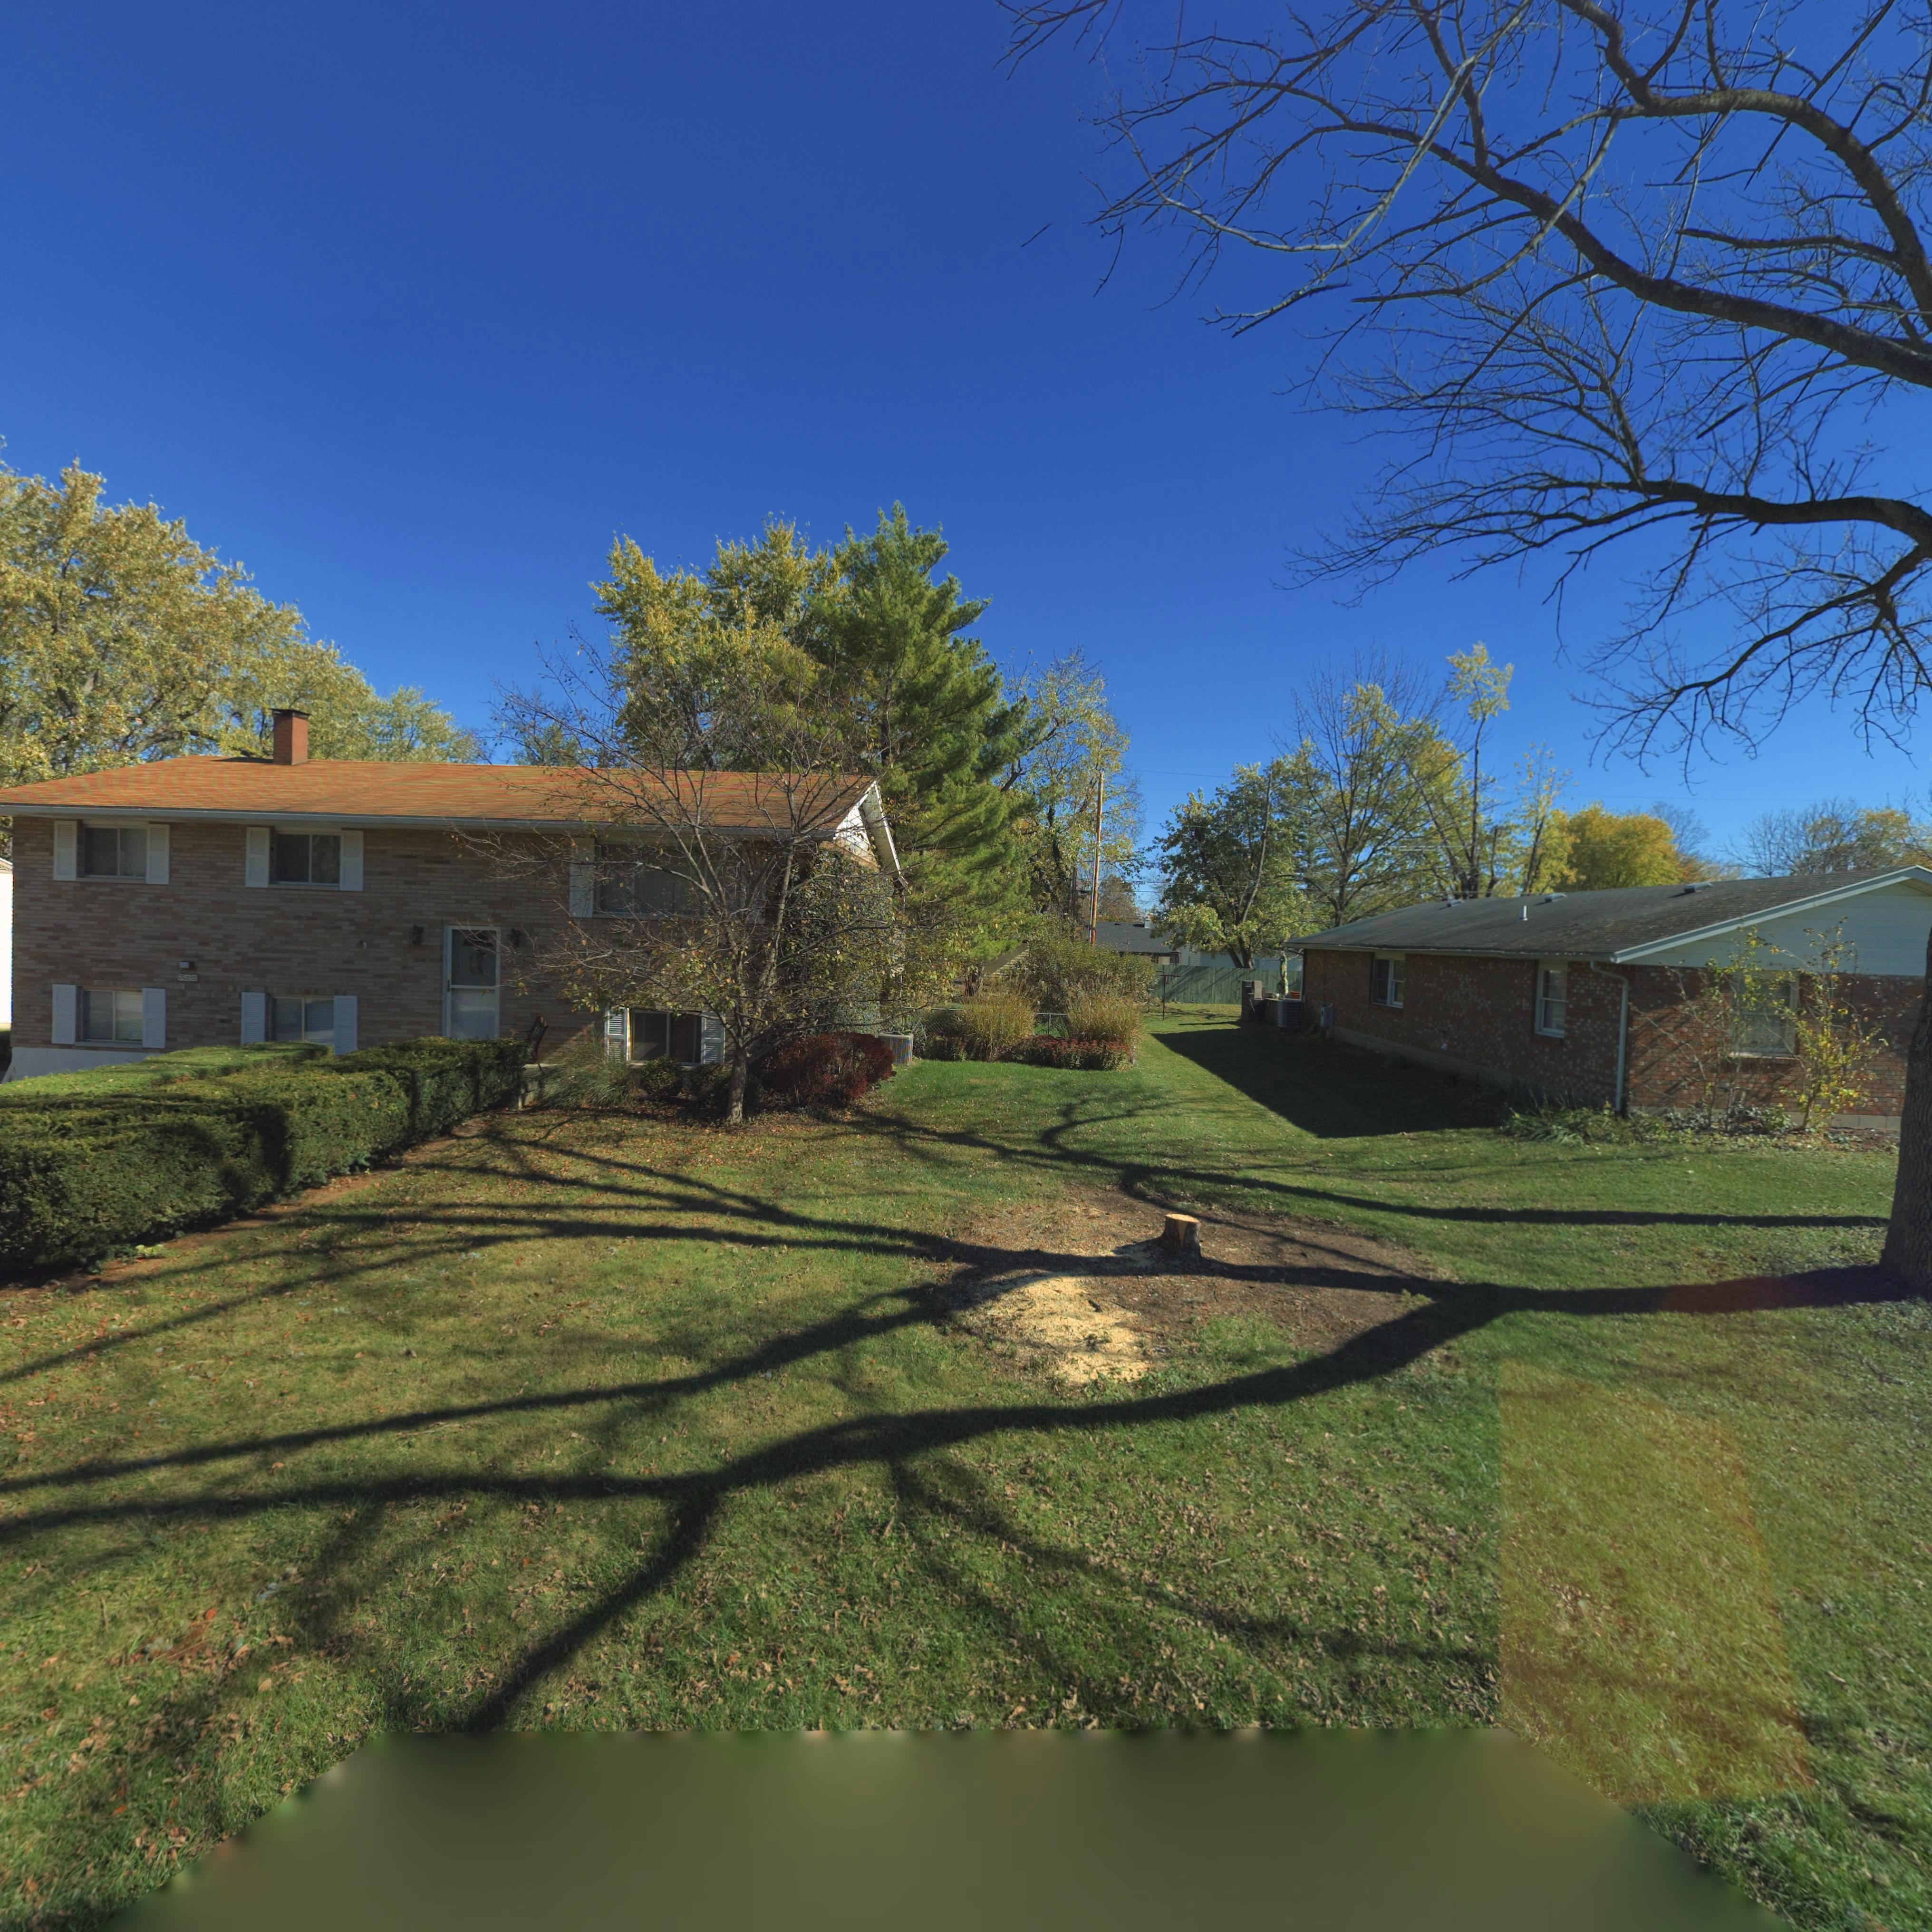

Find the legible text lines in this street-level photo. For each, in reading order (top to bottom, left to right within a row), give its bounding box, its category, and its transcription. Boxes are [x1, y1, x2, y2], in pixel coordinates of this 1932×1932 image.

[178, 974, 196, 981] StreetNumber: 7**